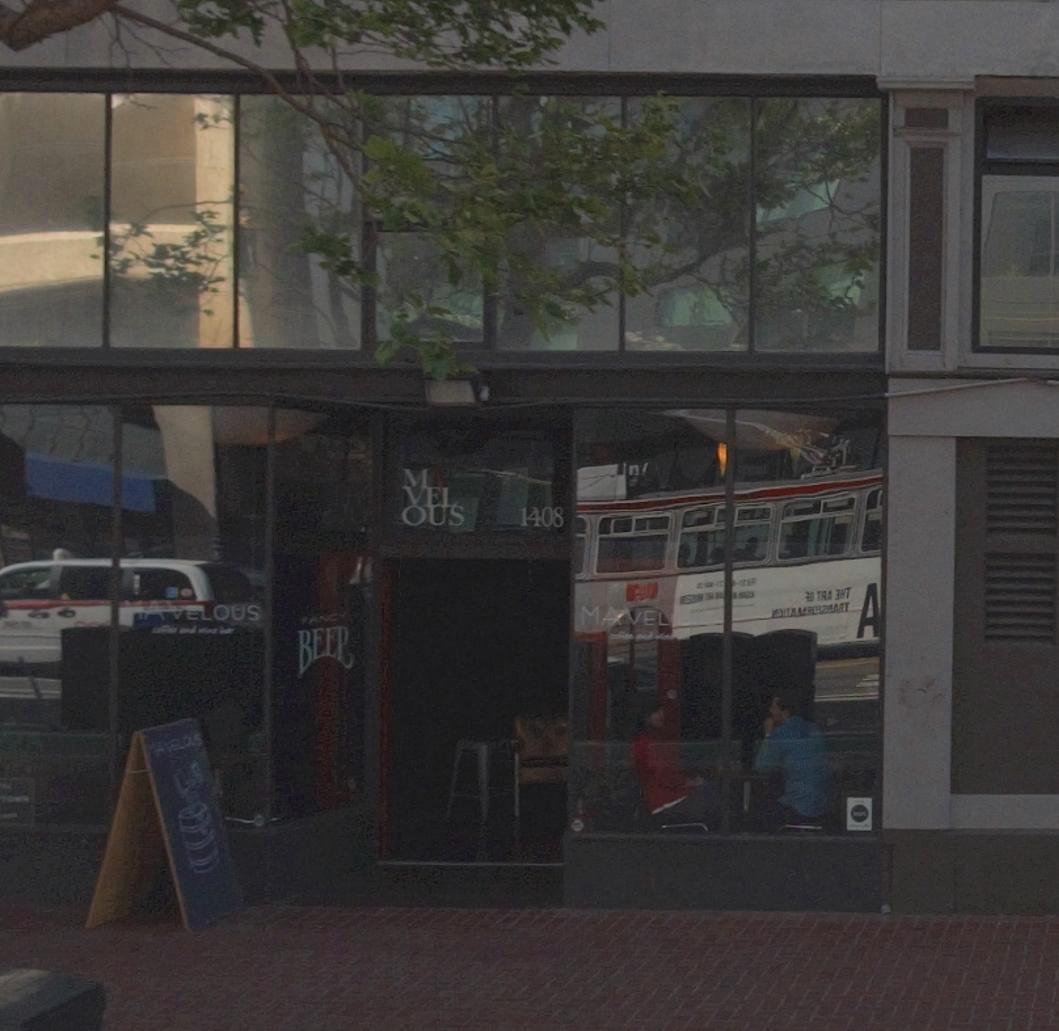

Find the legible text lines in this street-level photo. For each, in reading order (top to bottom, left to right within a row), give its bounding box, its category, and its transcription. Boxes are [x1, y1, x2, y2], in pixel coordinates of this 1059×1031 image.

[403, 468, 428, 487] BusinessName: M
[402, 486, 459, 508] BusinessName: VEL
[400, 505, 465, 527] BusinessName: OUS
[519, 506, 565, 528] StreetNumber: 1408
[211, 604, 261, 623] BusinessName: OUS
[579, 604, 673, 627] BusinessName: MAVEL
[855, 581, 882, 640] None: A
[296, 625, 355, 680] None: BEER